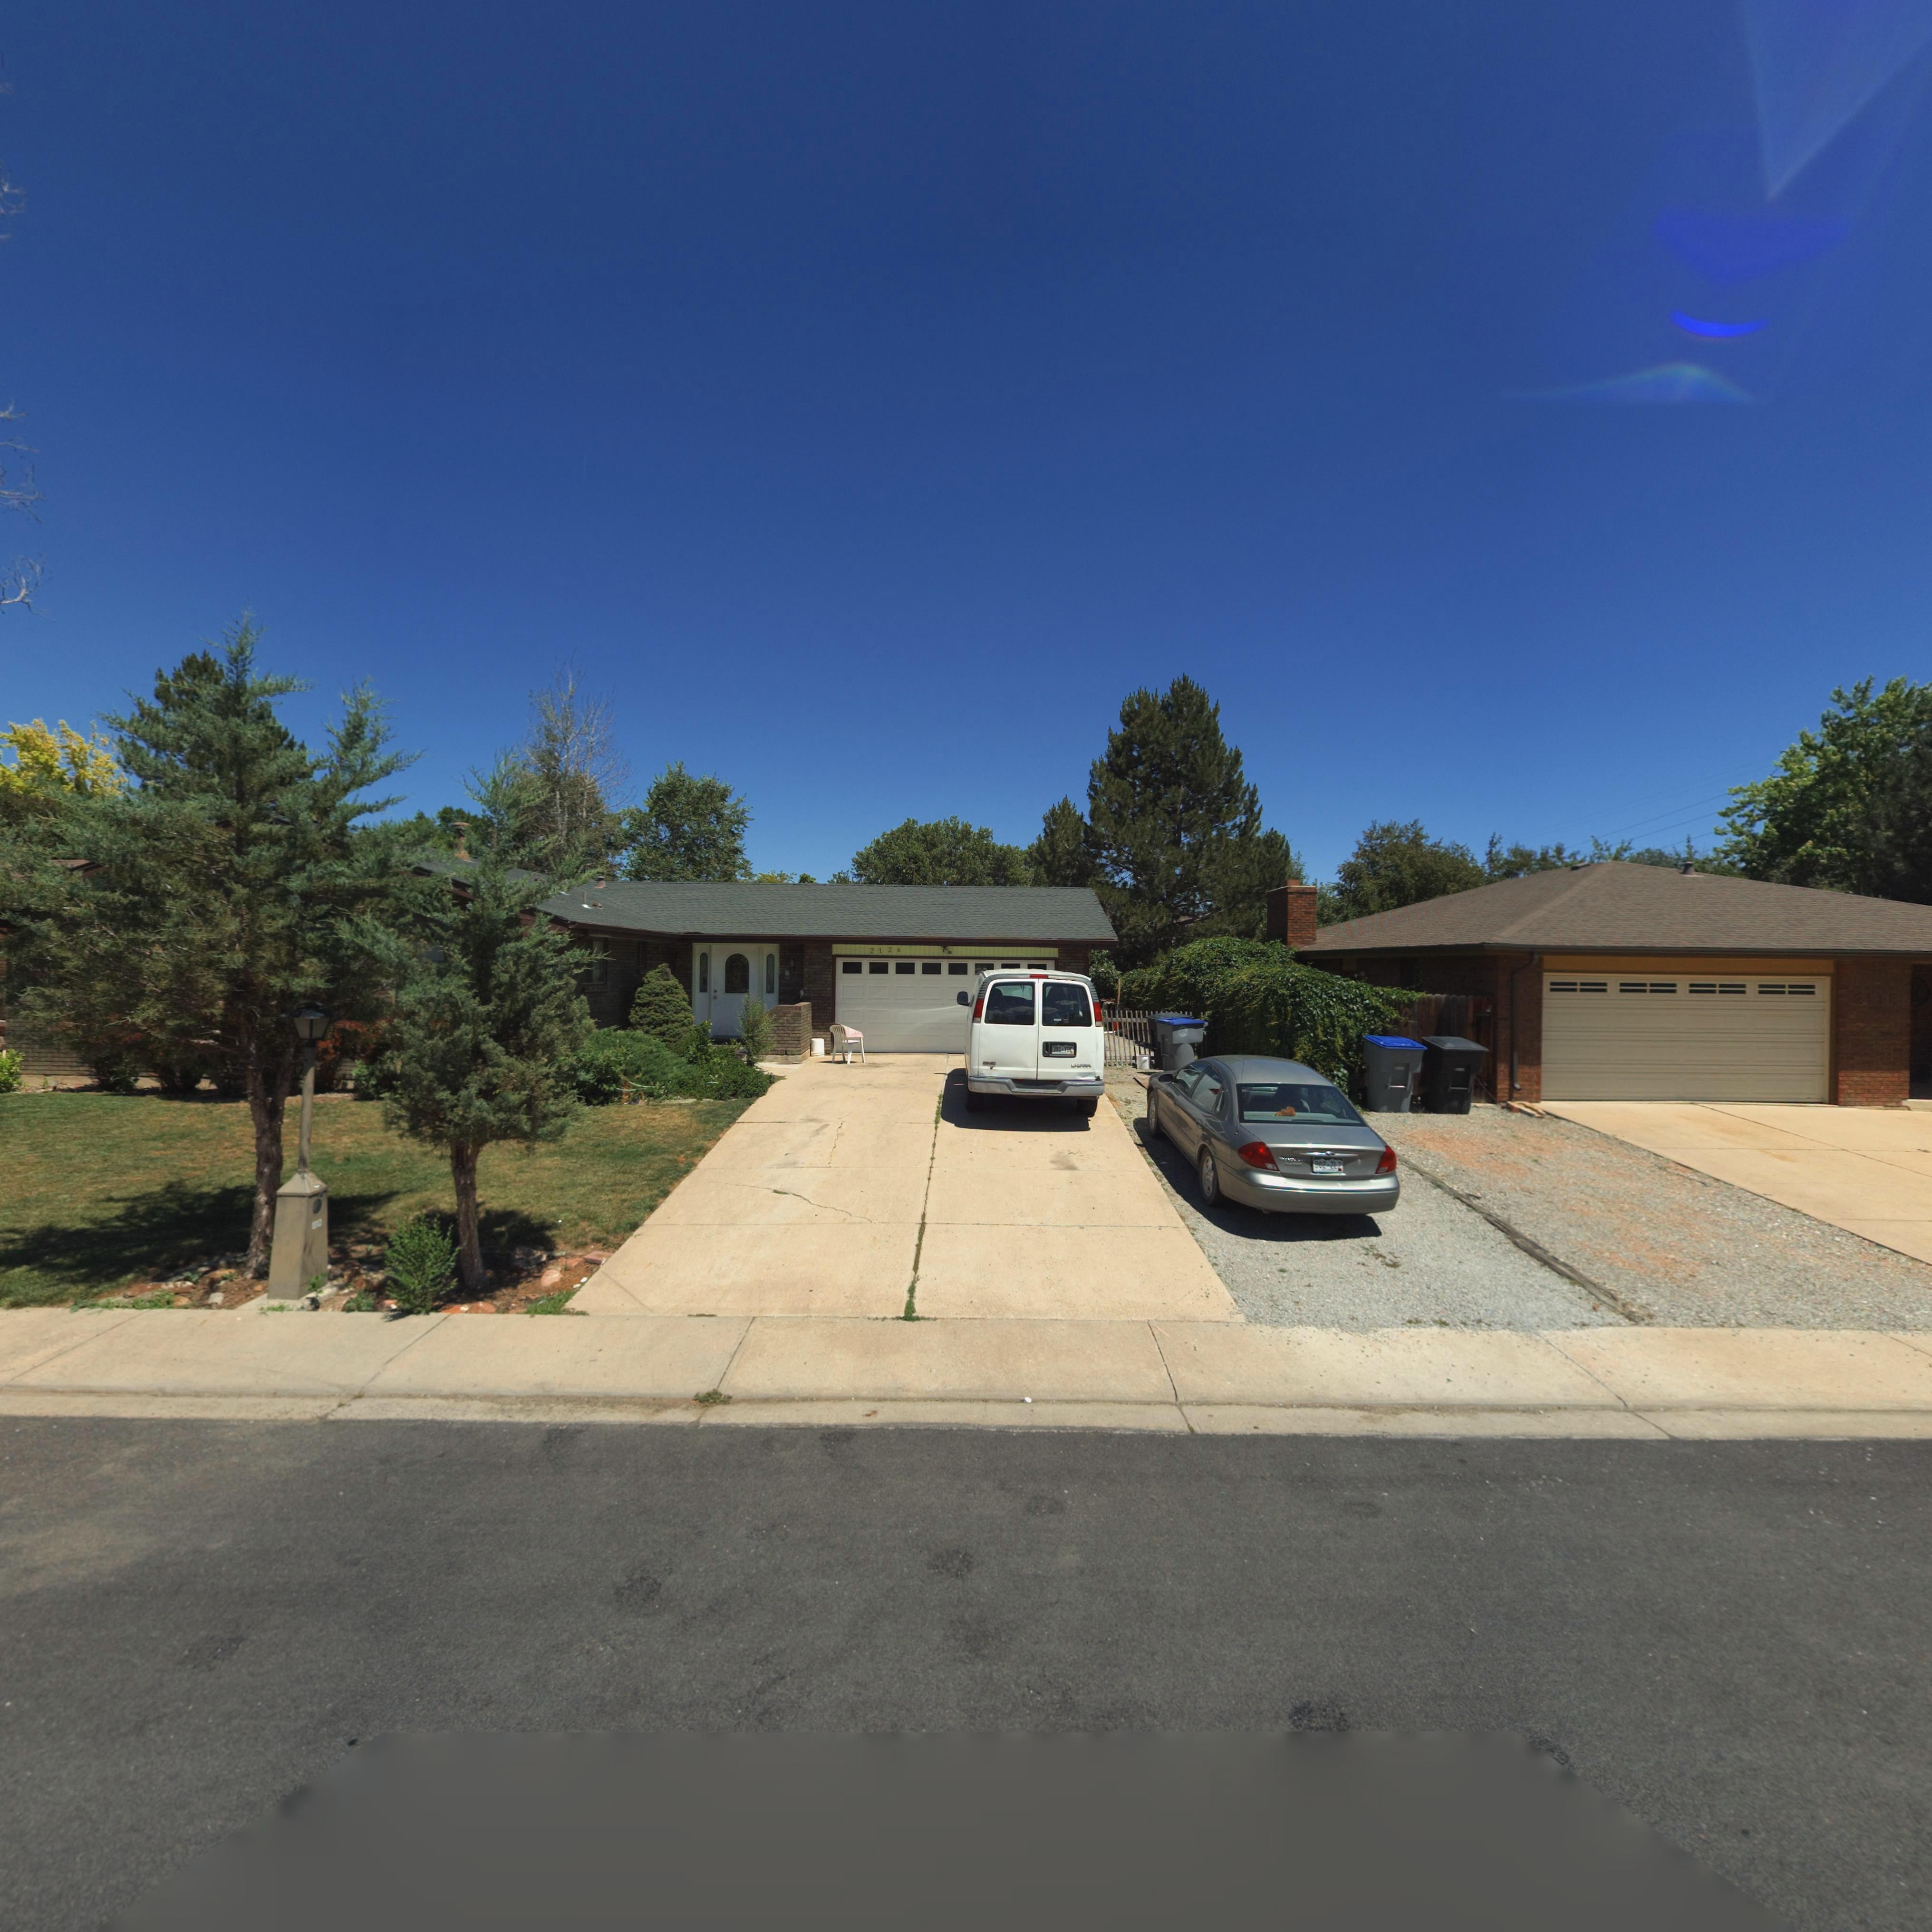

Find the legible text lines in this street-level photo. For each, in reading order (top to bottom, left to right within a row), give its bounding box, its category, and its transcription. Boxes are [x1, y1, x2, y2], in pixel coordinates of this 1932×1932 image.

[869, 947, 901, 954] StreetNumber: 2126
[1854, 992, 1897, 1005] StreetNumber: 2118
[311, 1218, 322, 1230] StreetNumber: ***2